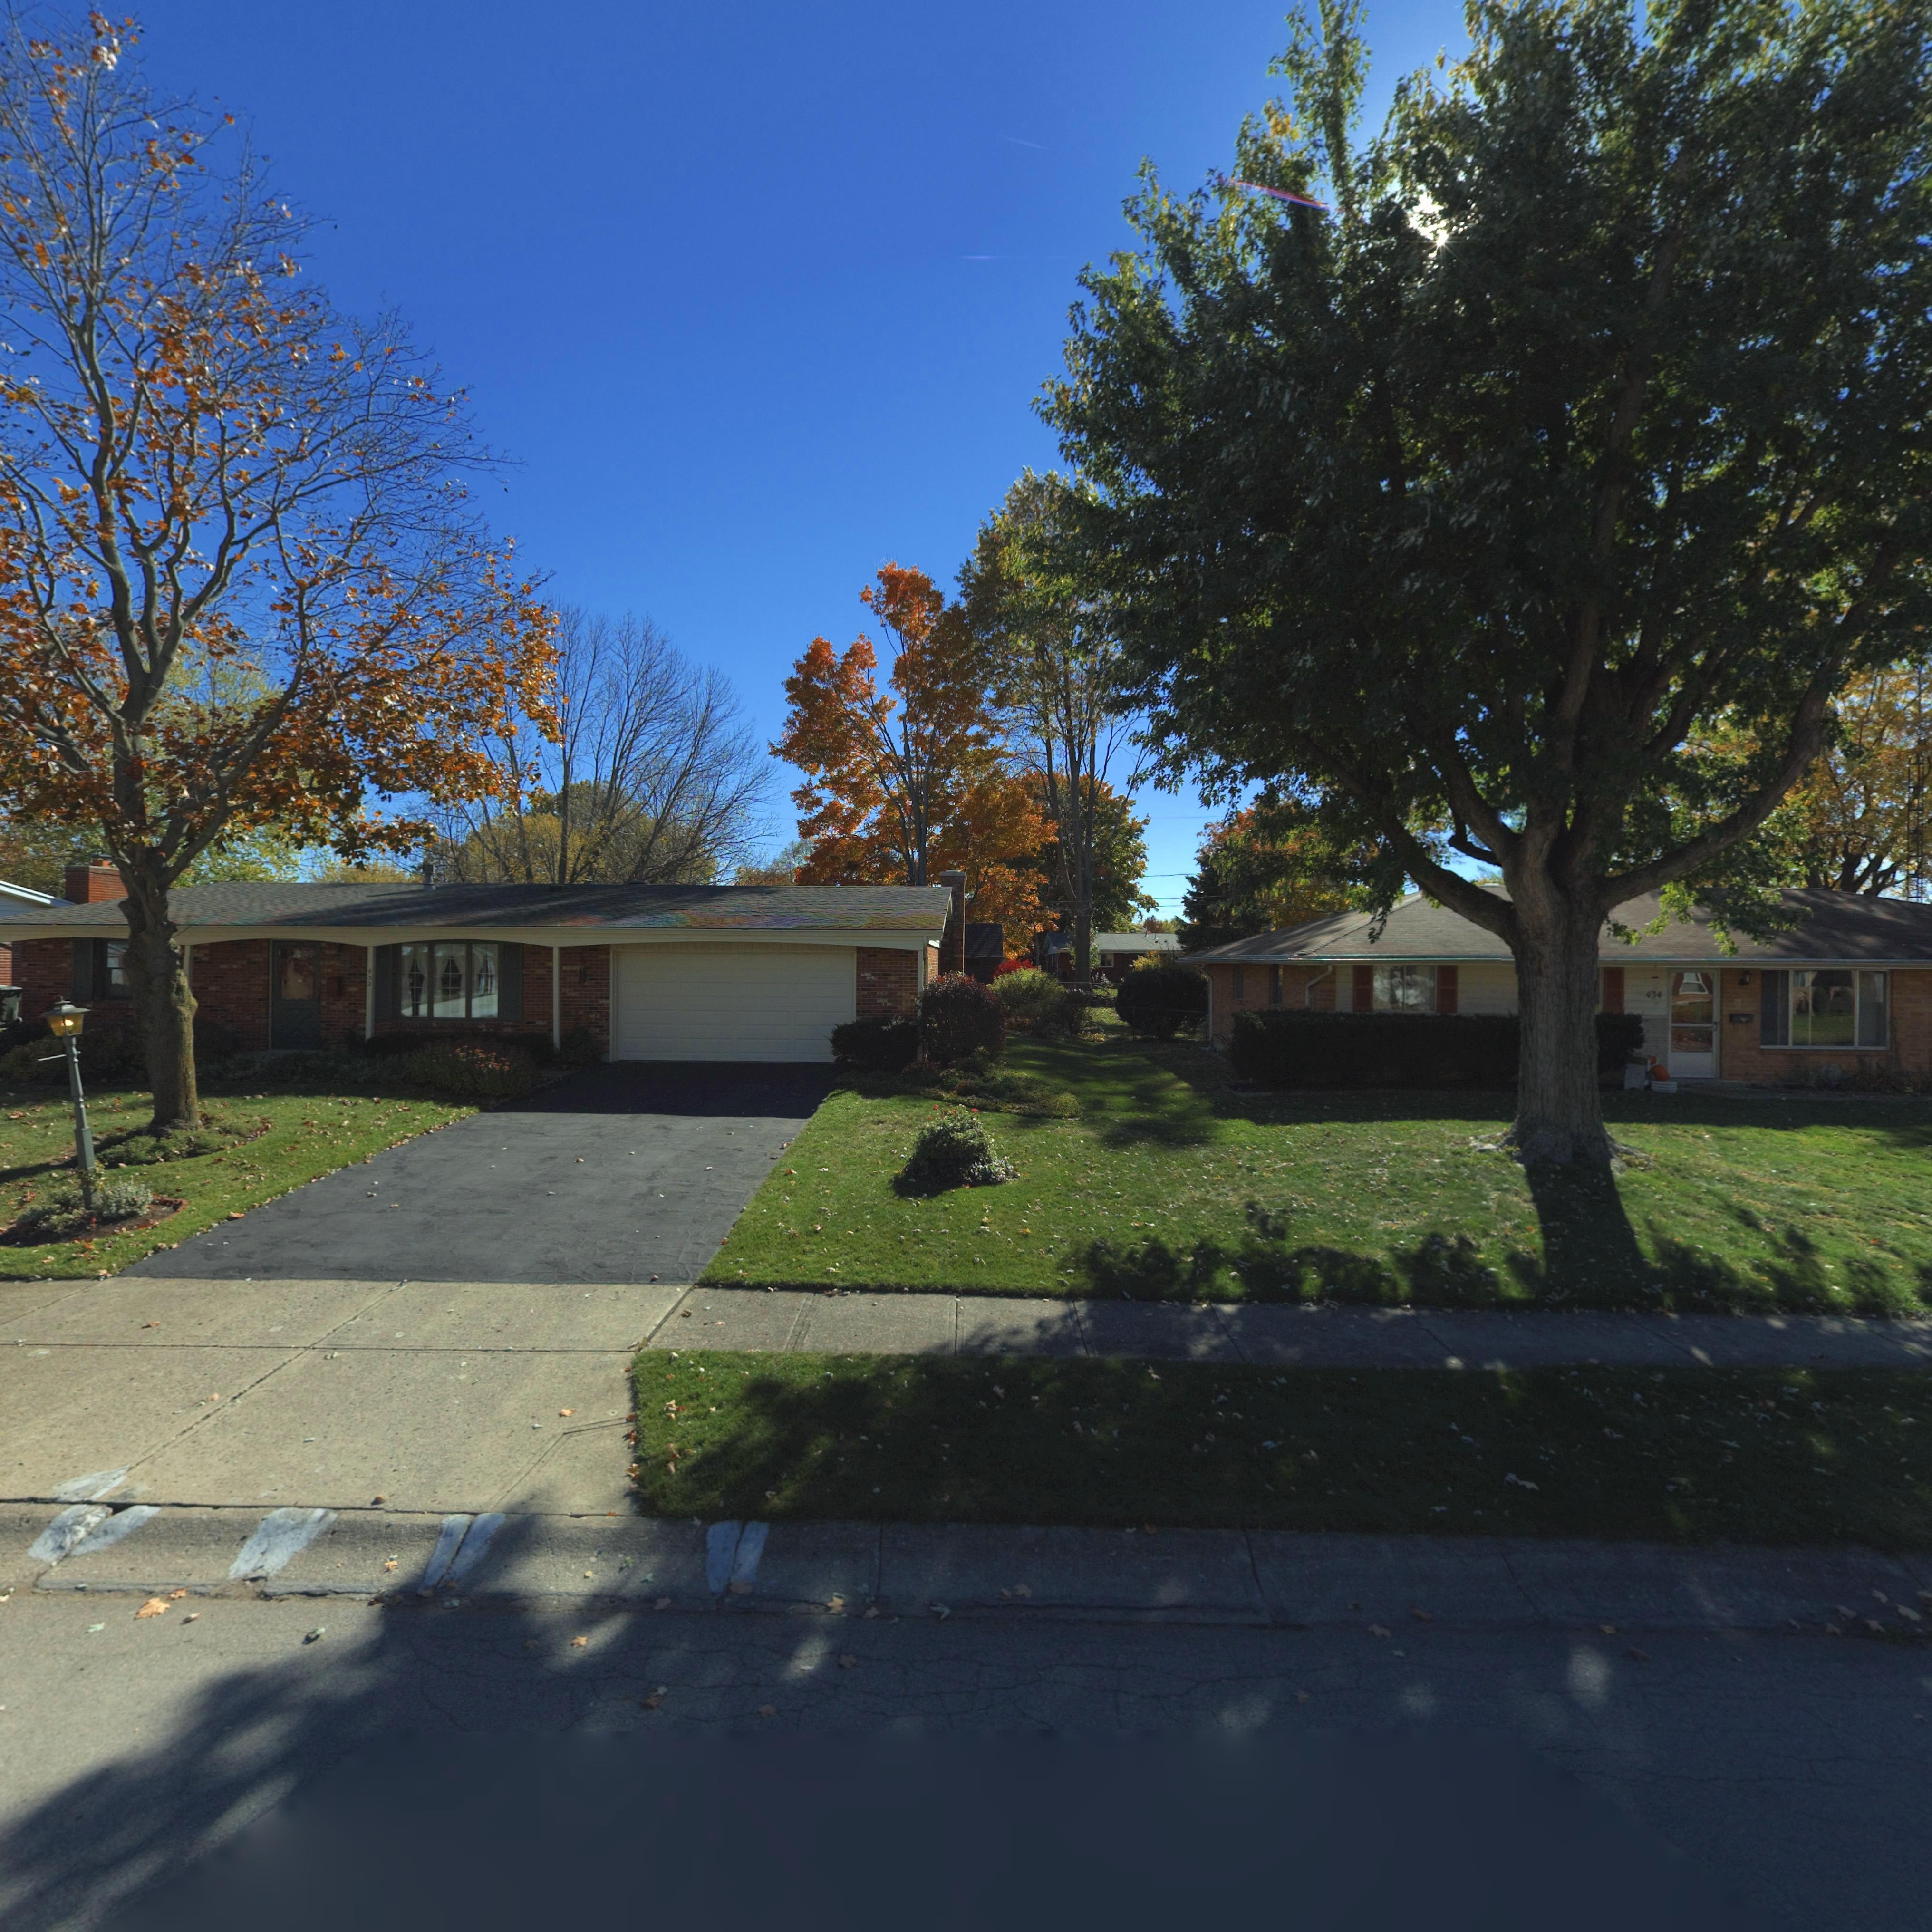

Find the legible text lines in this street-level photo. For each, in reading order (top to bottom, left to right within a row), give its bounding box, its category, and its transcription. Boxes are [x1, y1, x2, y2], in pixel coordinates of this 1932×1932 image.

[367, 967, 373, 988] StreetNumber: **2
[1643, 989, 1663, 1000] StreetNumber: 434